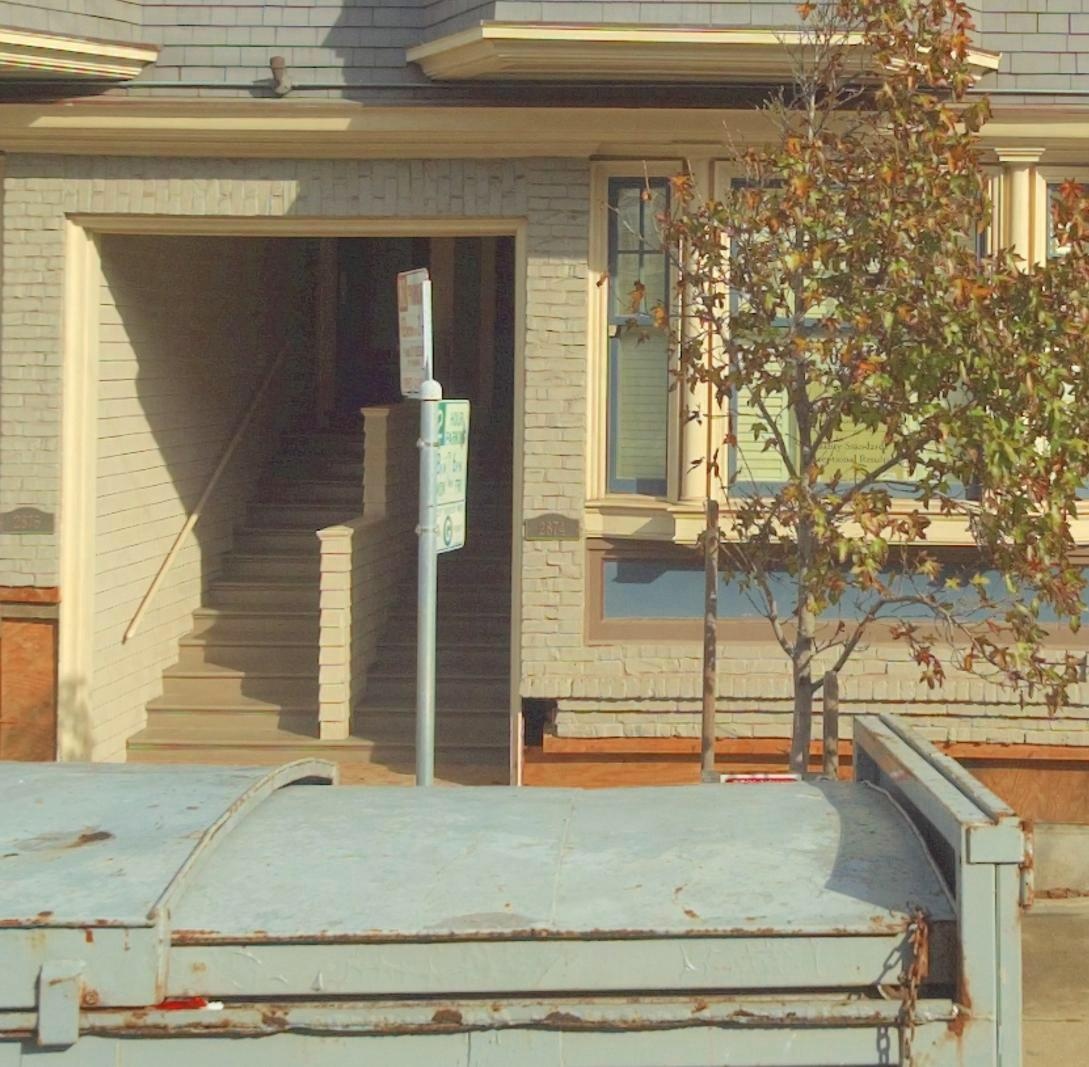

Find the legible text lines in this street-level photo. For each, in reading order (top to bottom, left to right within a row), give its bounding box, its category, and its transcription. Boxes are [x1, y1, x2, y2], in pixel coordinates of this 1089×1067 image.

[449, 450, 460, 475] None: 6
[443, 517, 454, 546] None: G
[536, 519, 568, 538] StreetNumber: 2874